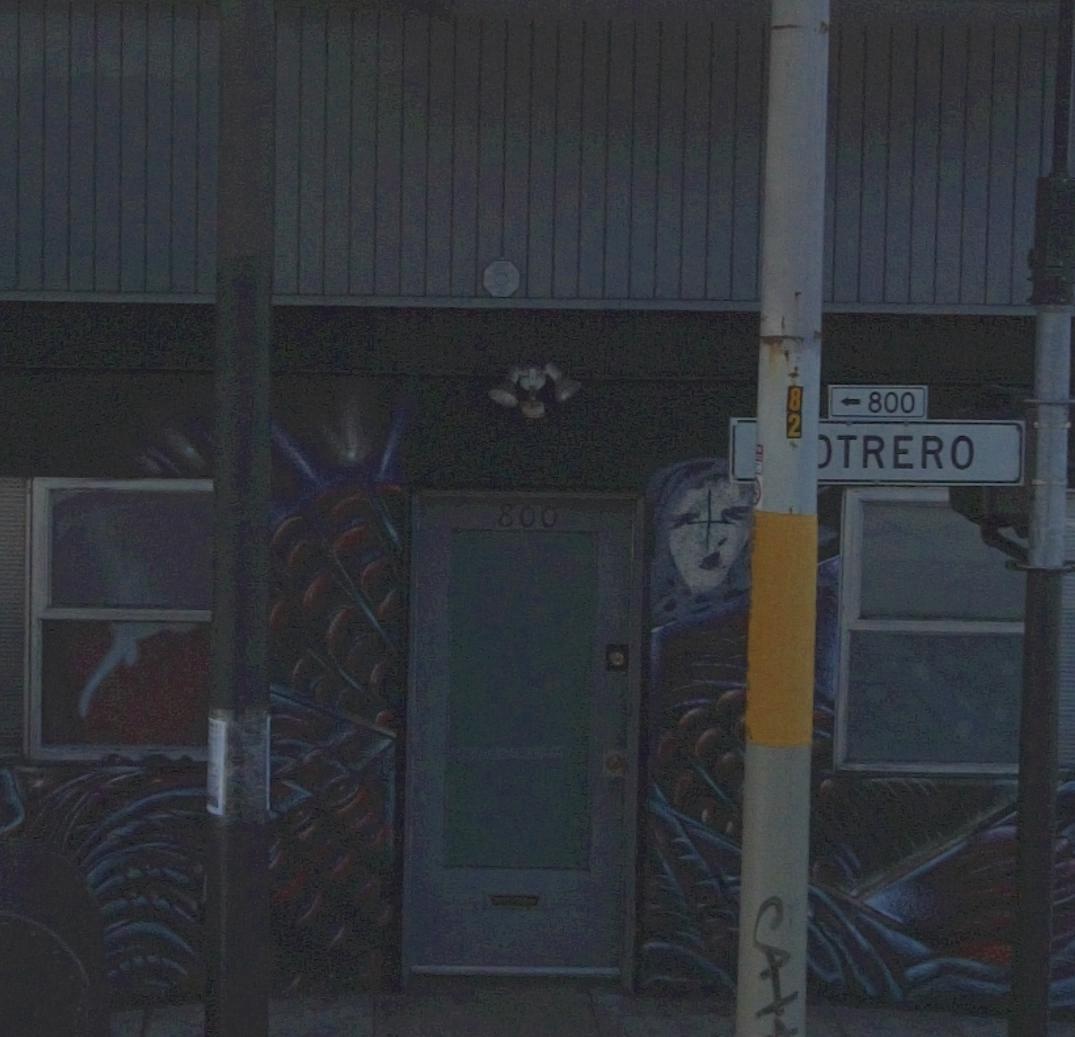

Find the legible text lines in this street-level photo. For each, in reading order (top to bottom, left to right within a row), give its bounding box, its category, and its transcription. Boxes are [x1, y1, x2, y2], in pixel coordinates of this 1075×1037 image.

[786, 384, 802, 438] None: 82
[837, 389, 917, 414] StreetNumberRange: <-800
[833, 432, 974, 471] StreetName: TRERO
[494, 501, 561, 530] StreetNumber: 800